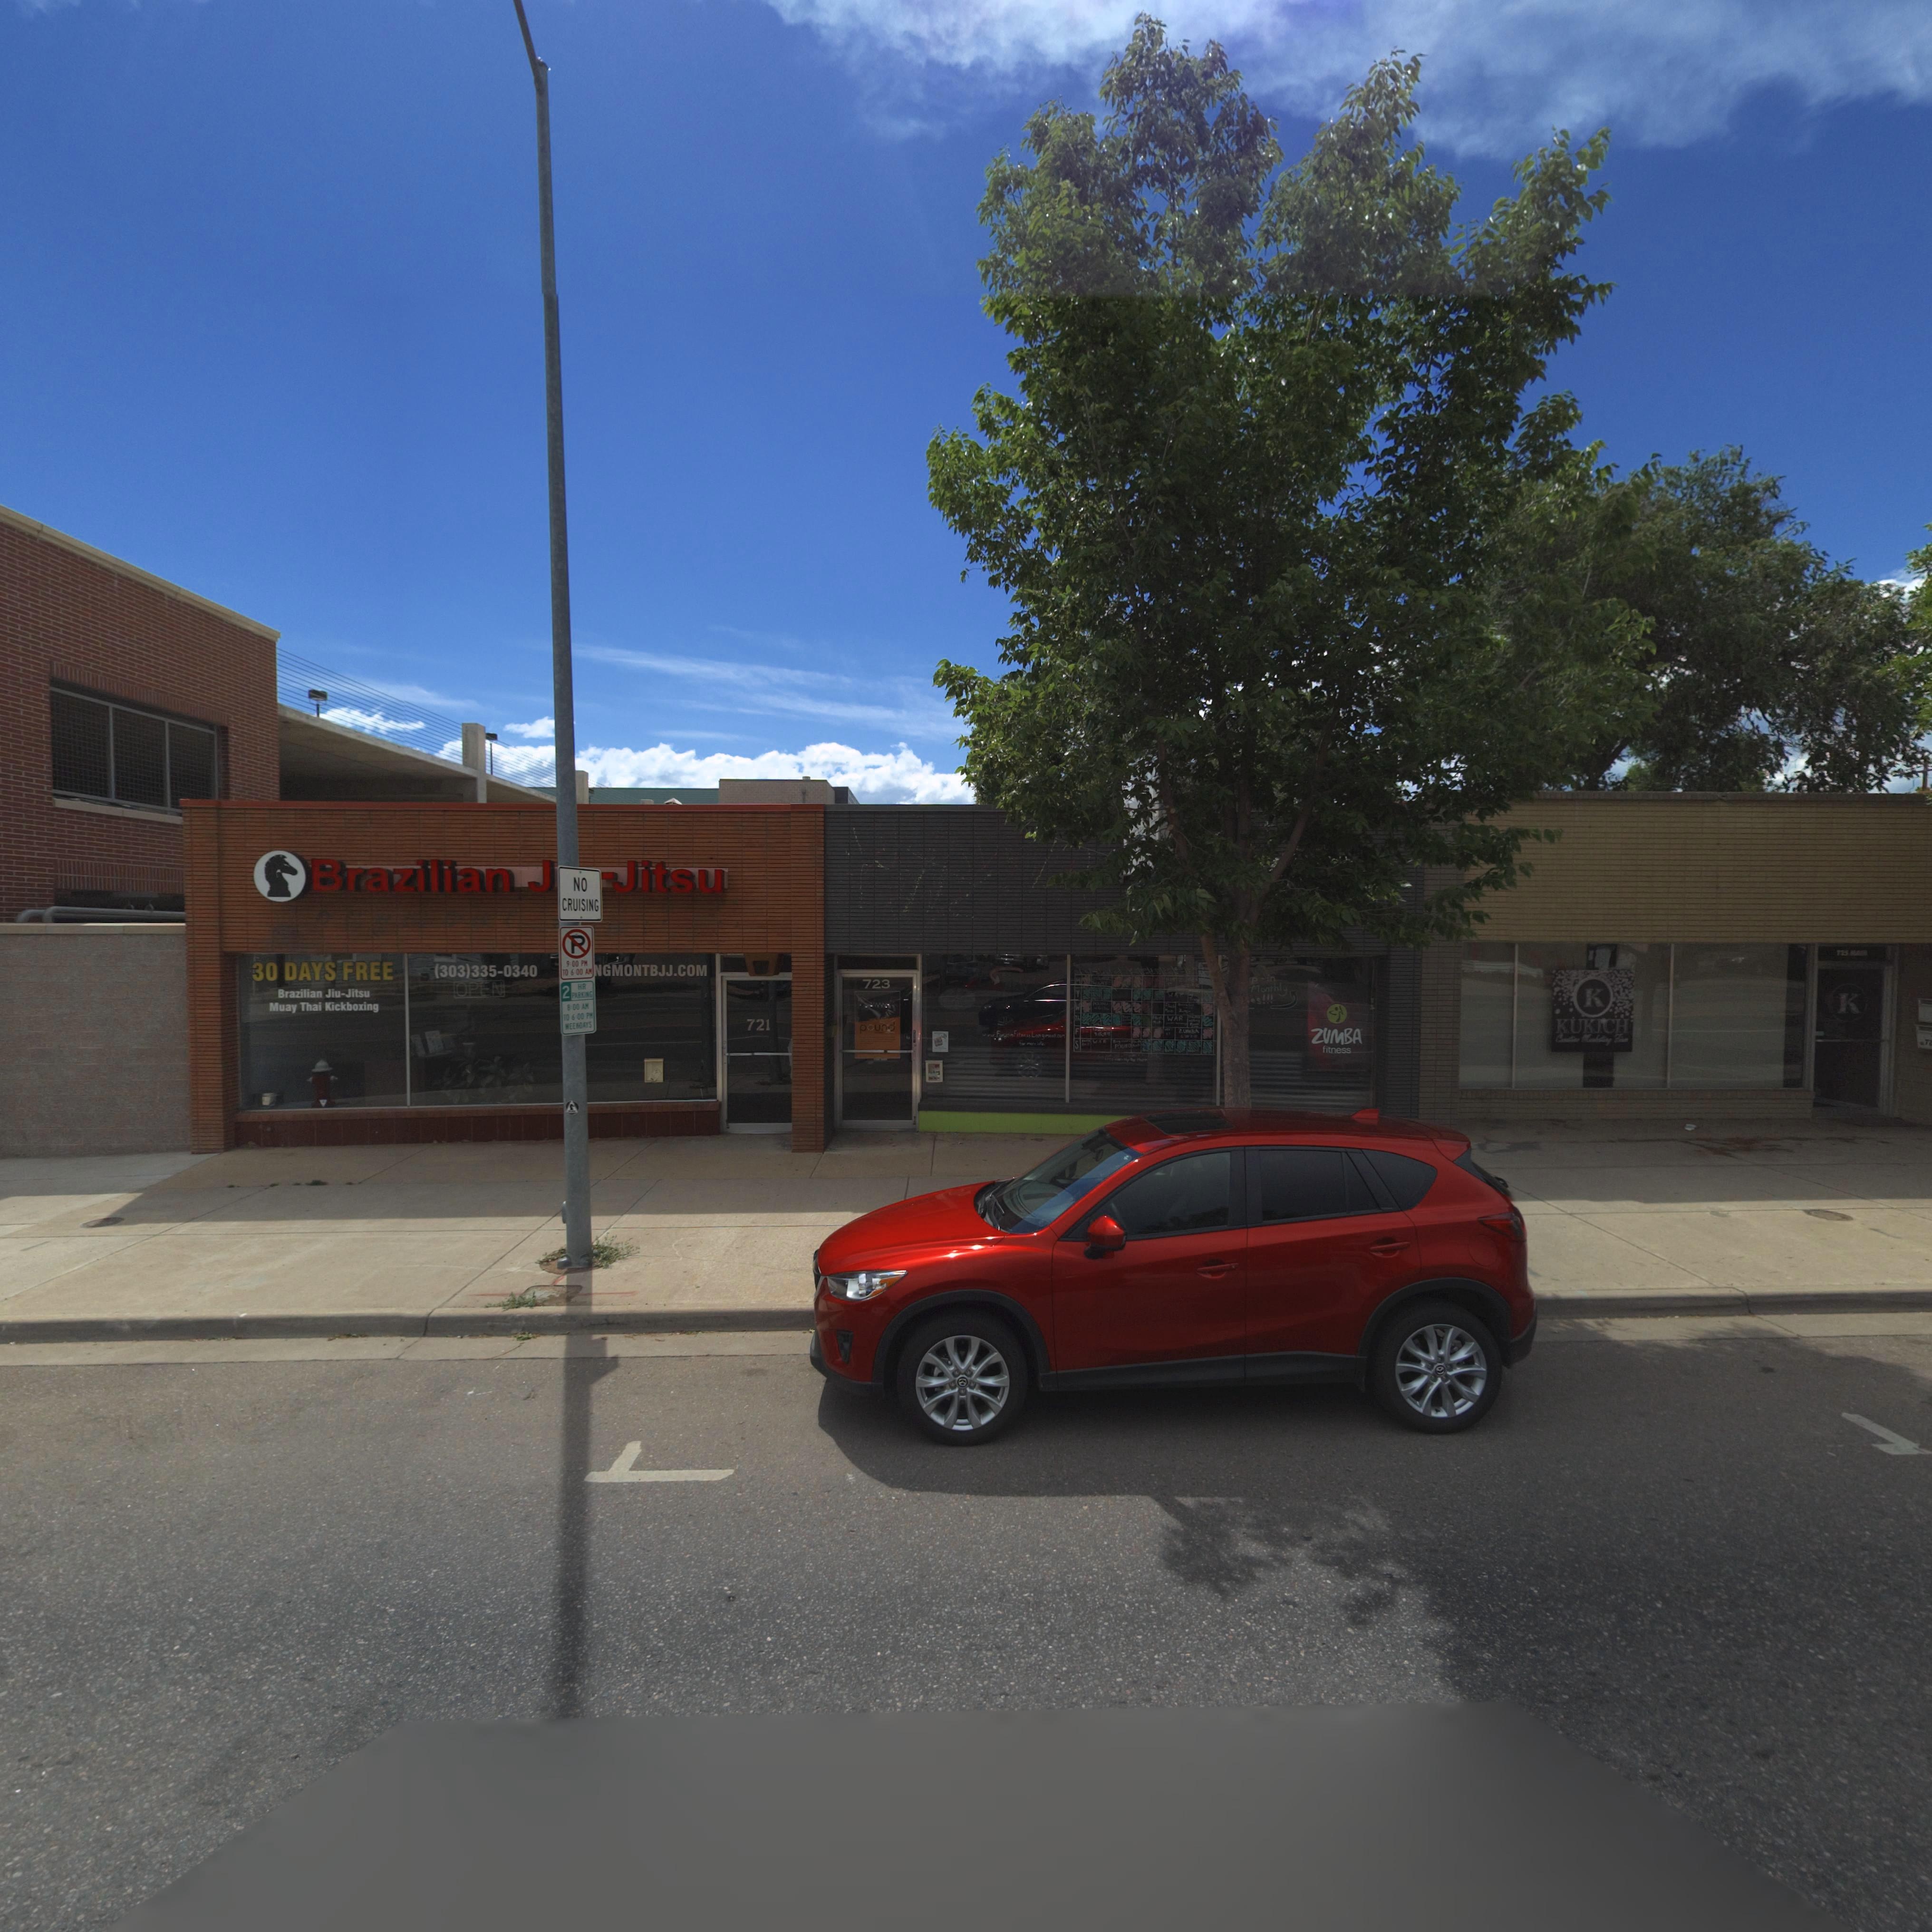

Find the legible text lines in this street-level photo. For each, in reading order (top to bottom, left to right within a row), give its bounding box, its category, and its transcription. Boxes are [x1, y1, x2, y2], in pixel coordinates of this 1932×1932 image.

[310, 857, 722, 893] BusinessName: Brazilian J**-Jitsu
[1835, 949, 1849, 956] StreetNumber: 725
[1850, 949, 1868, 956] StreetName: MAIN
[862, 978, 890, 989] StreetNumber: 723
[746, 1018, 770, 1031] StreetNumber: 721
[1924, 1038, 1930, 1044] StreetNumber: 7